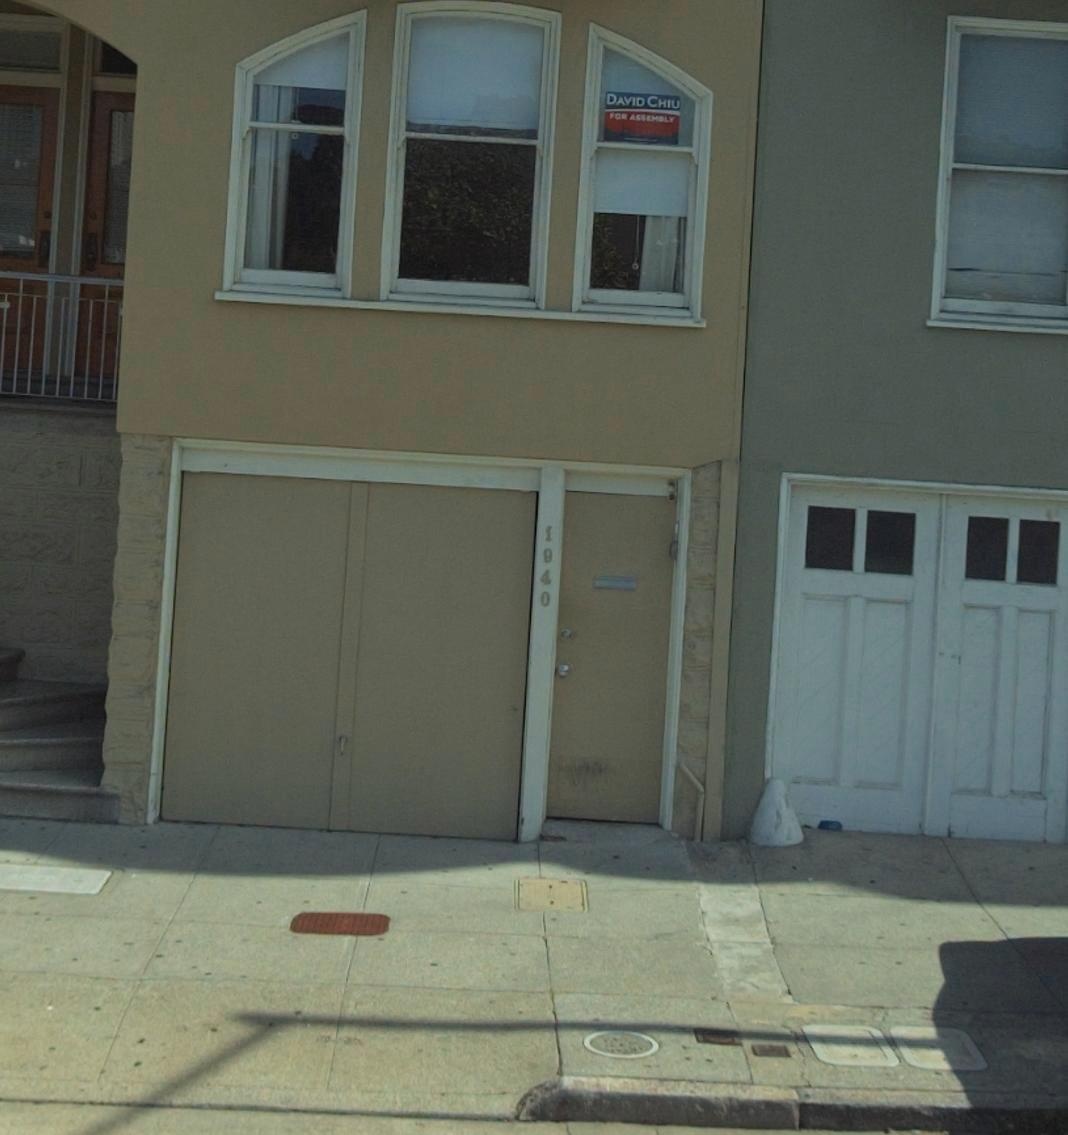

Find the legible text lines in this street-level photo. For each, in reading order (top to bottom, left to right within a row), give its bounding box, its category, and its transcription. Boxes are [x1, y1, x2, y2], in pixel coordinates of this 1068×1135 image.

[605, 92, 682, 111] None: DAVID CHIU
[607, 111, 676, 125] None: FOR AS****LY
[537, 523, 557, 612] StreetNumber: 1940